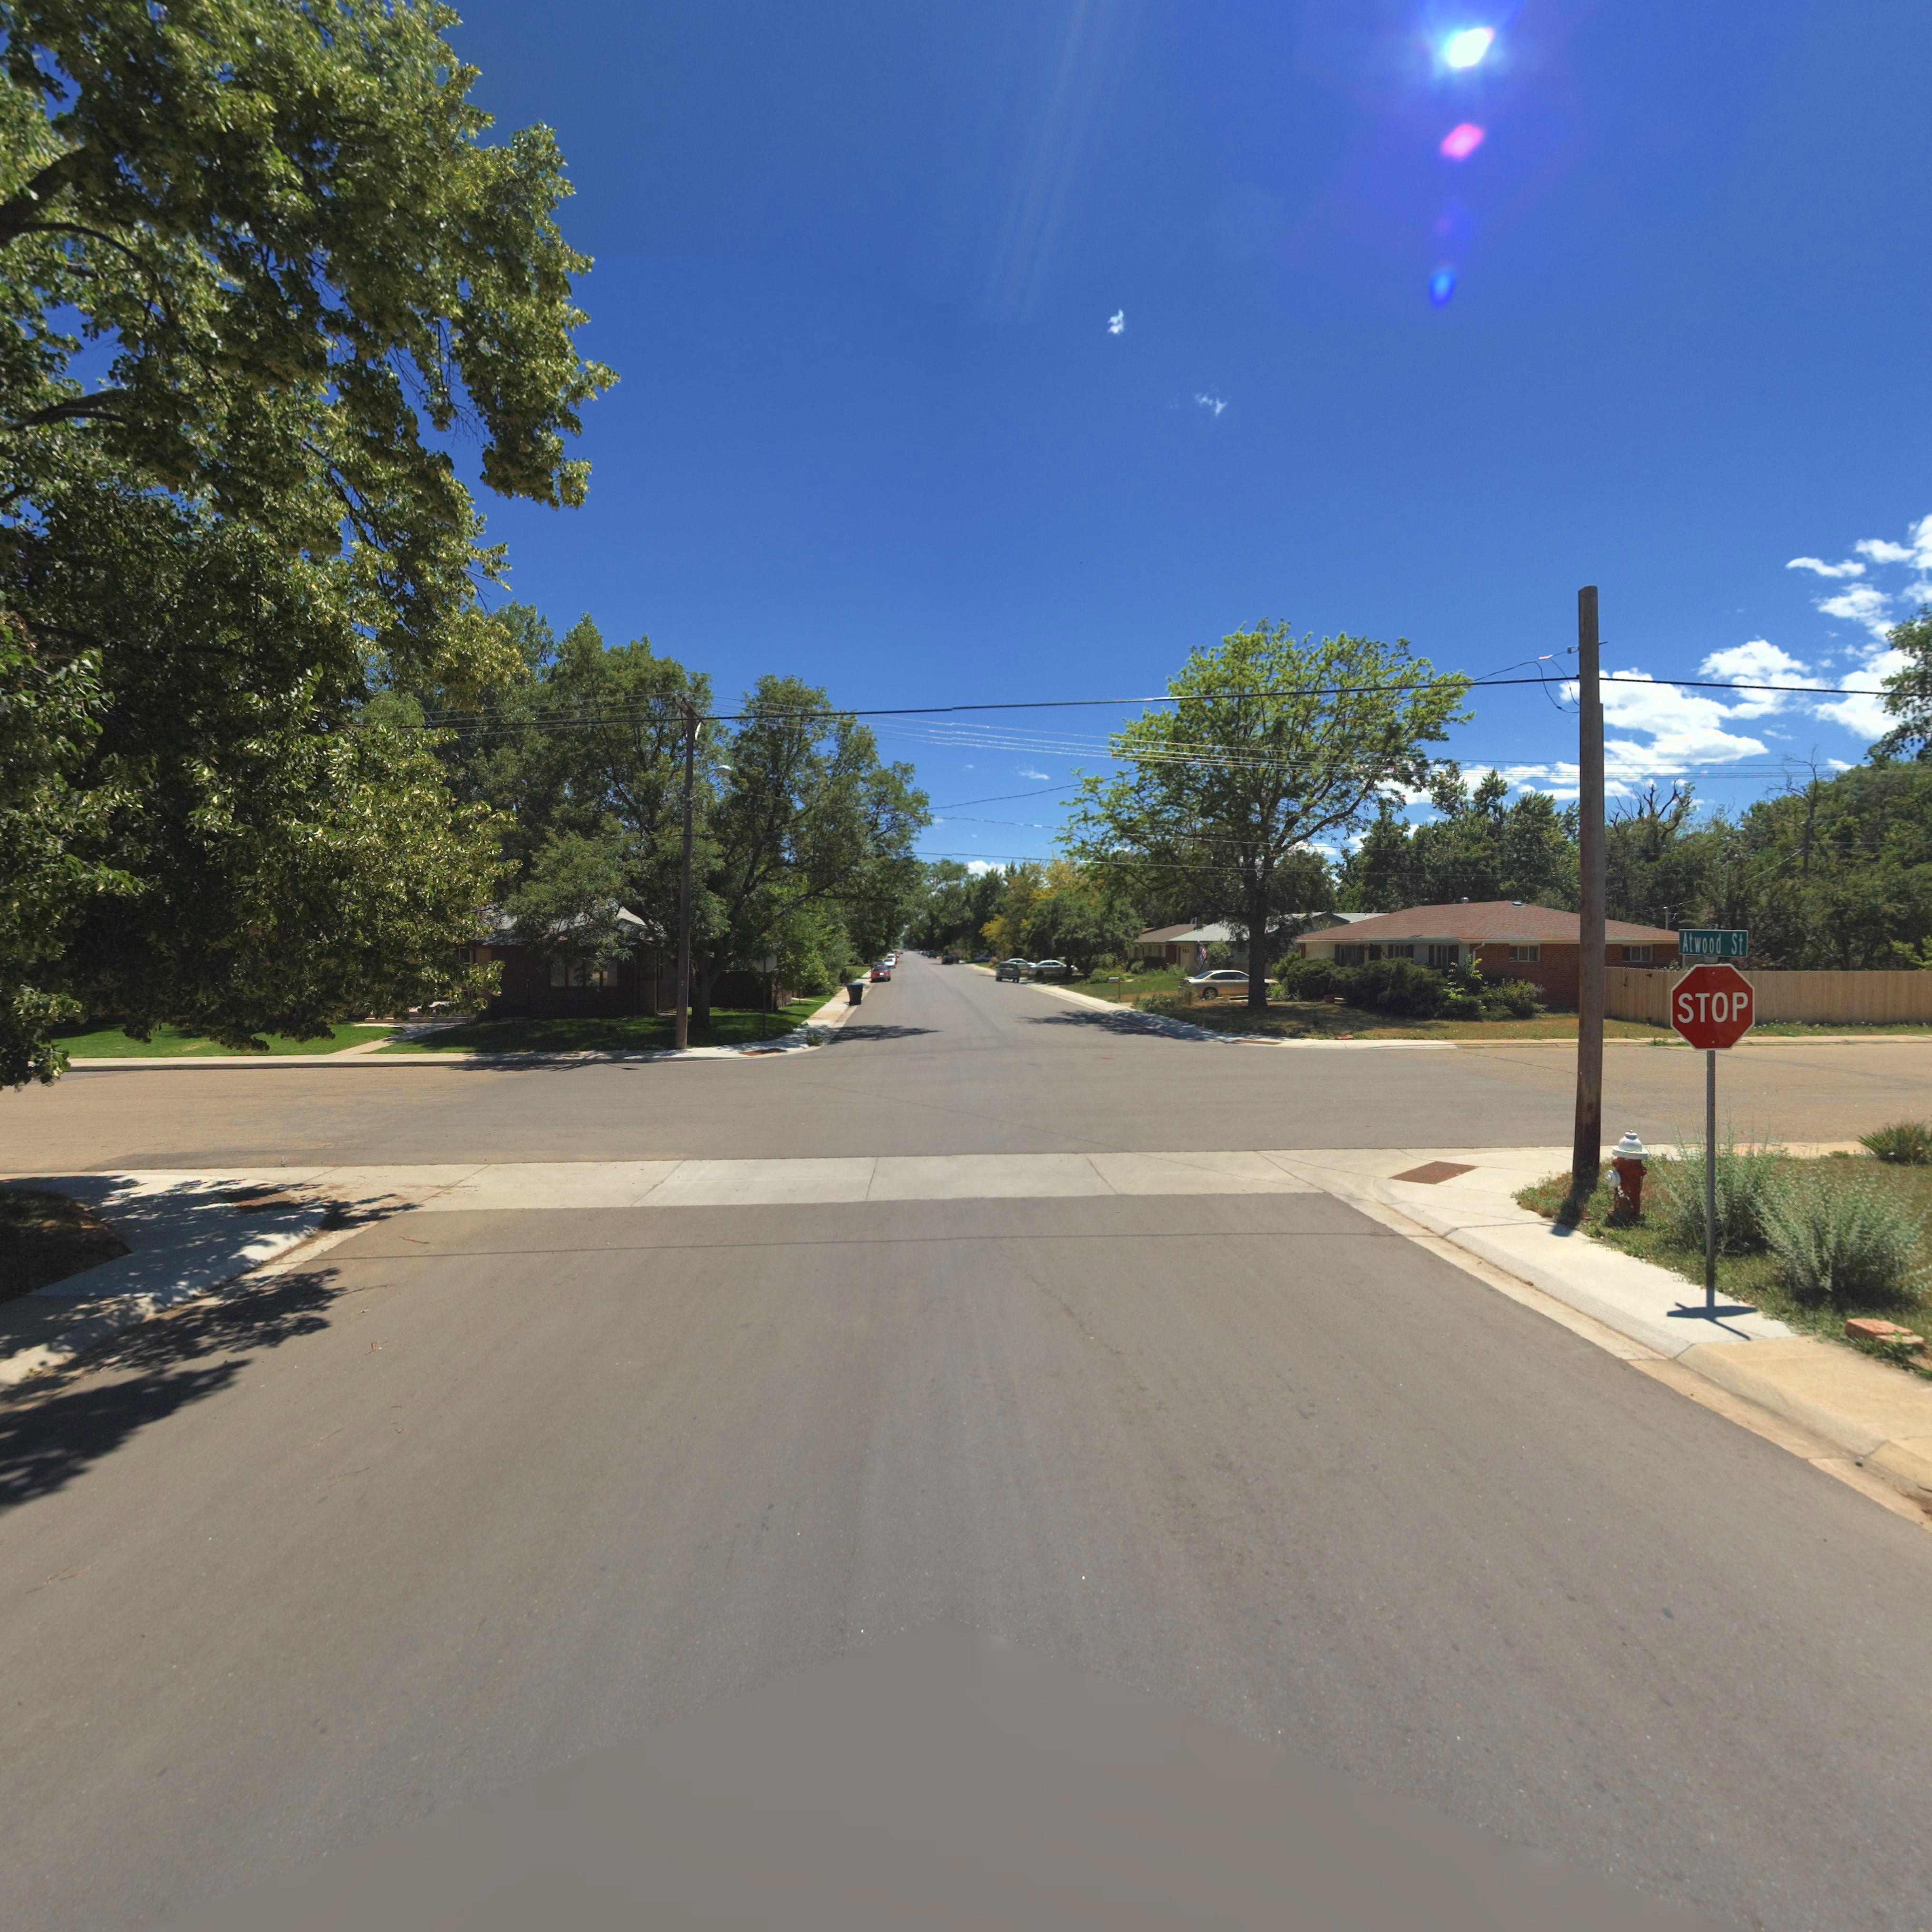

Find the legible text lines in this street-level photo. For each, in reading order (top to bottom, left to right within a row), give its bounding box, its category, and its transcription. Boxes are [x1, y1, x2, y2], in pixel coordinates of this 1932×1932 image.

[1681, 931, 1743, 956] StreetName: Atwood St